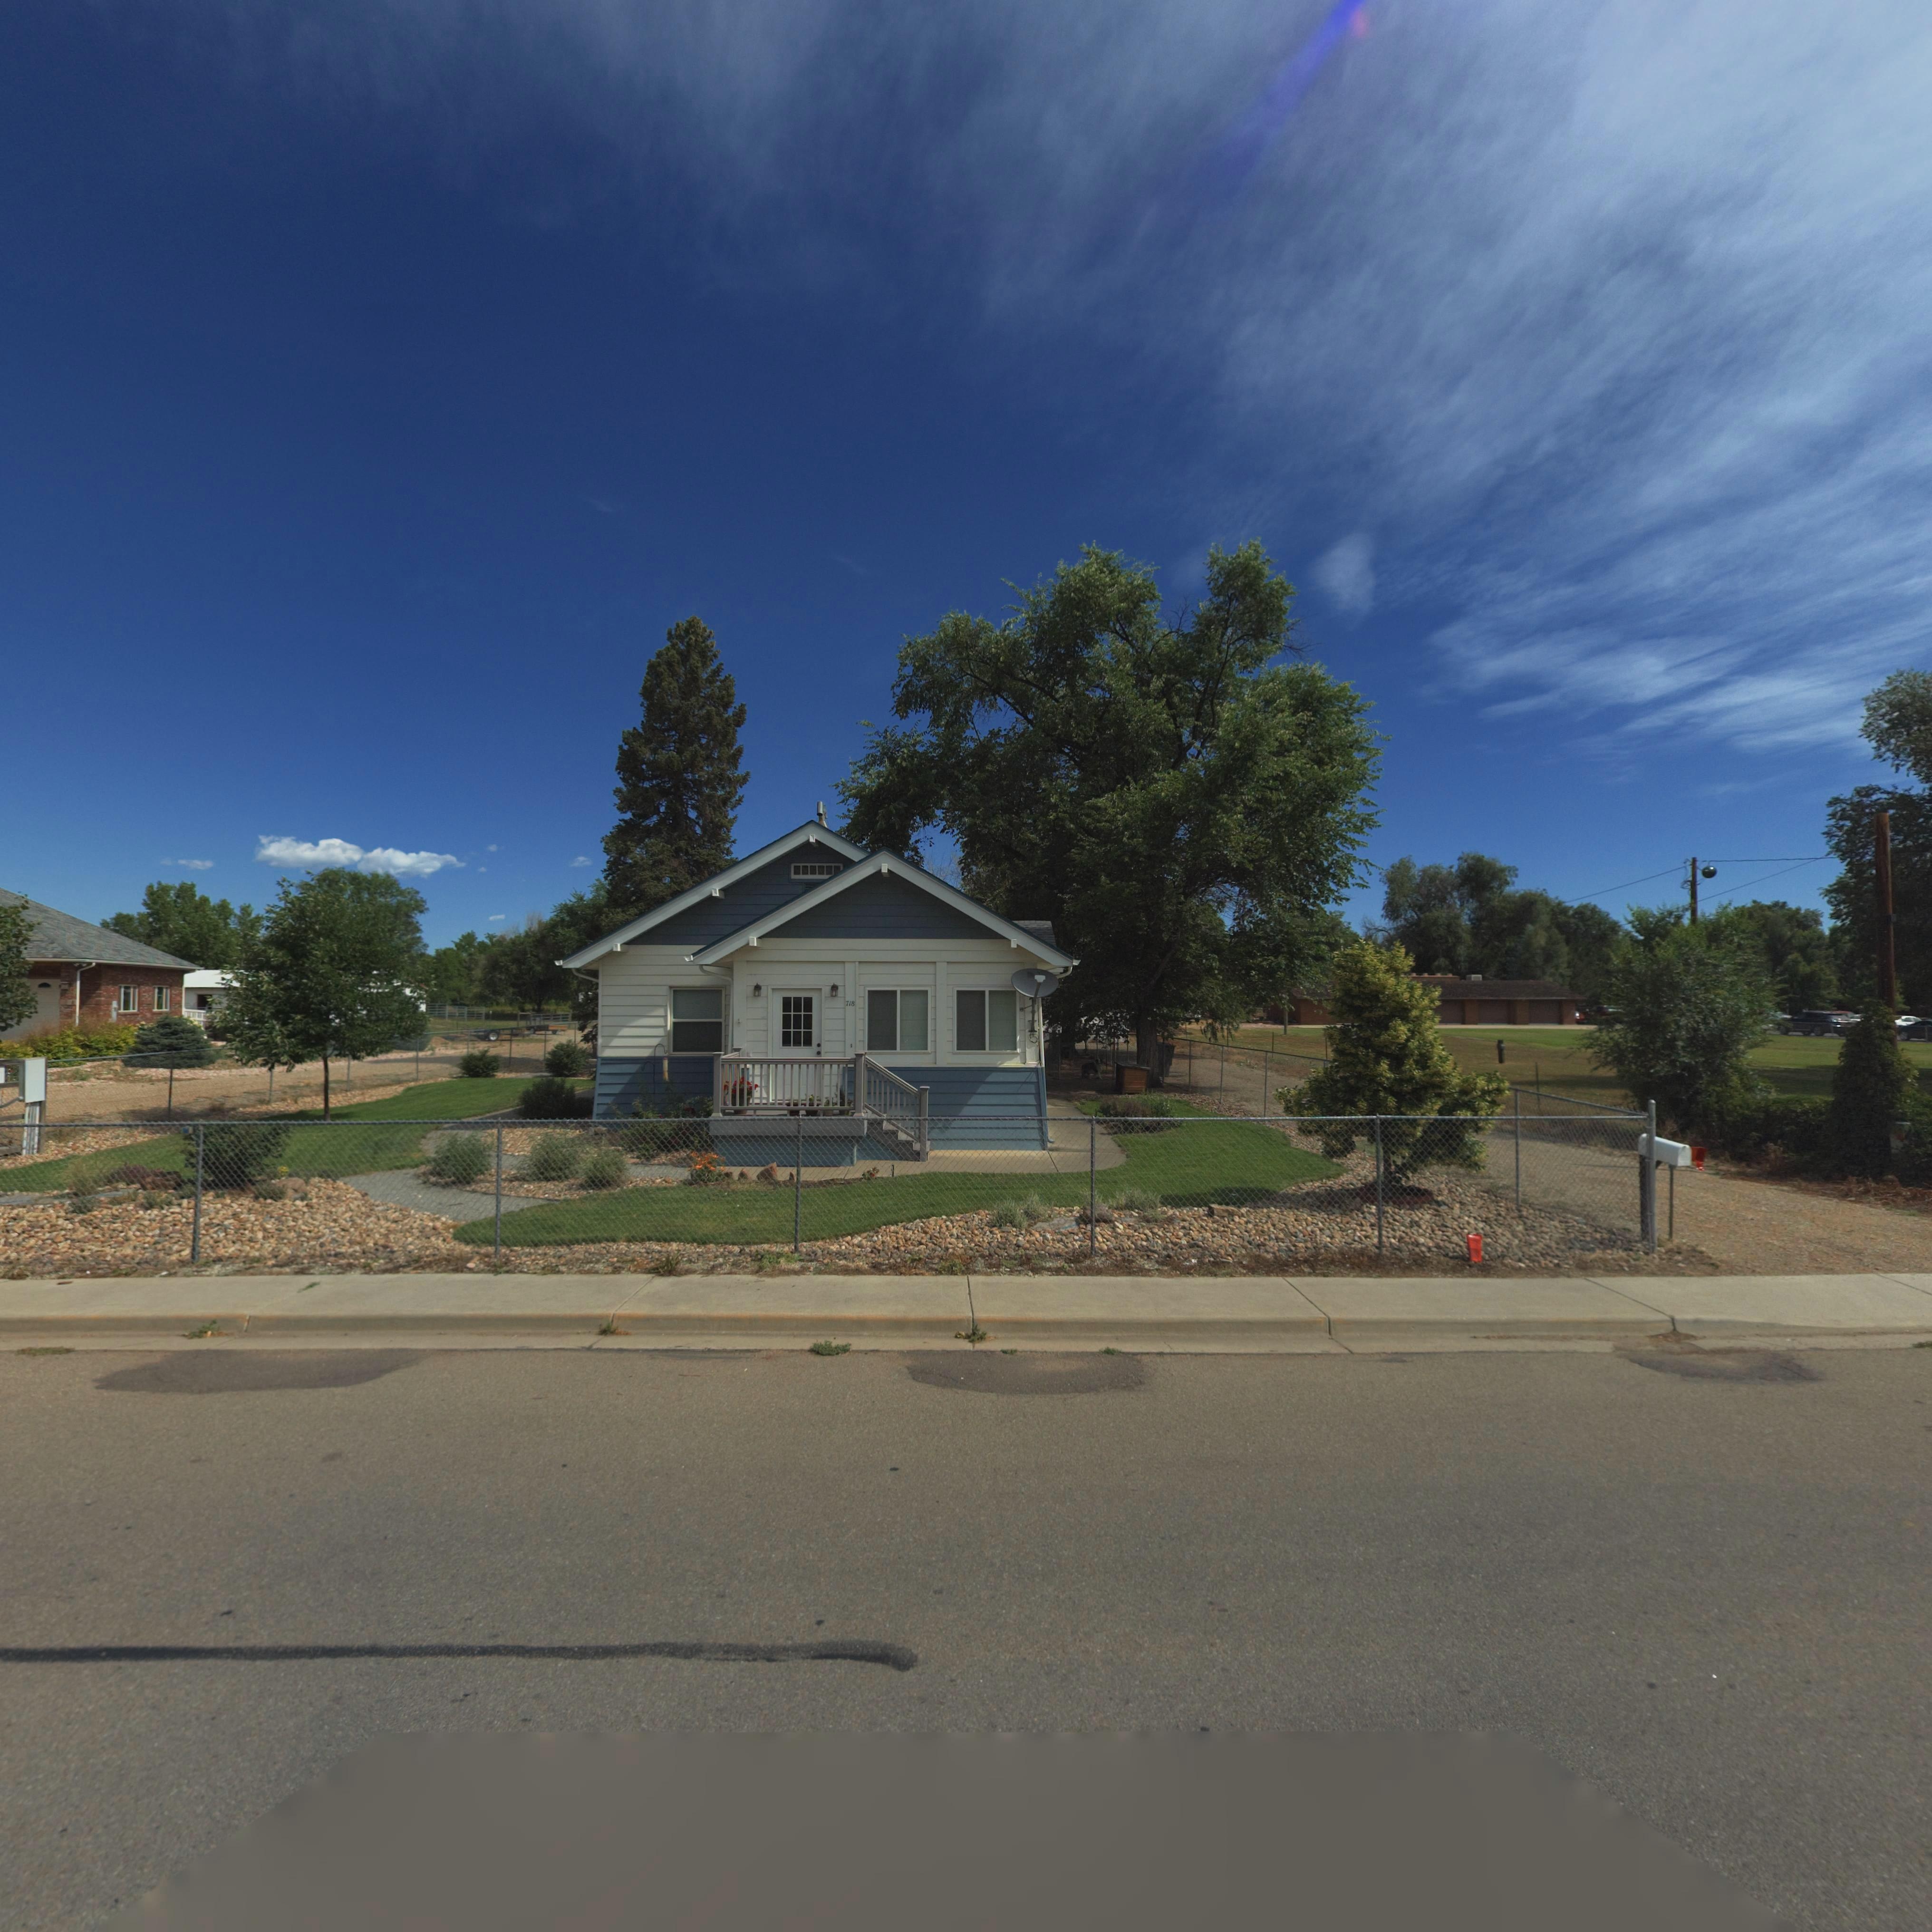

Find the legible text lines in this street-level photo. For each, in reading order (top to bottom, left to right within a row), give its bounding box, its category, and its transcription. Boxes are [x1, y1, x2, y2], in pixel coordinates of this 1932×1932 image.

[845, 1000, 855, 1006] StreetNumber: 718